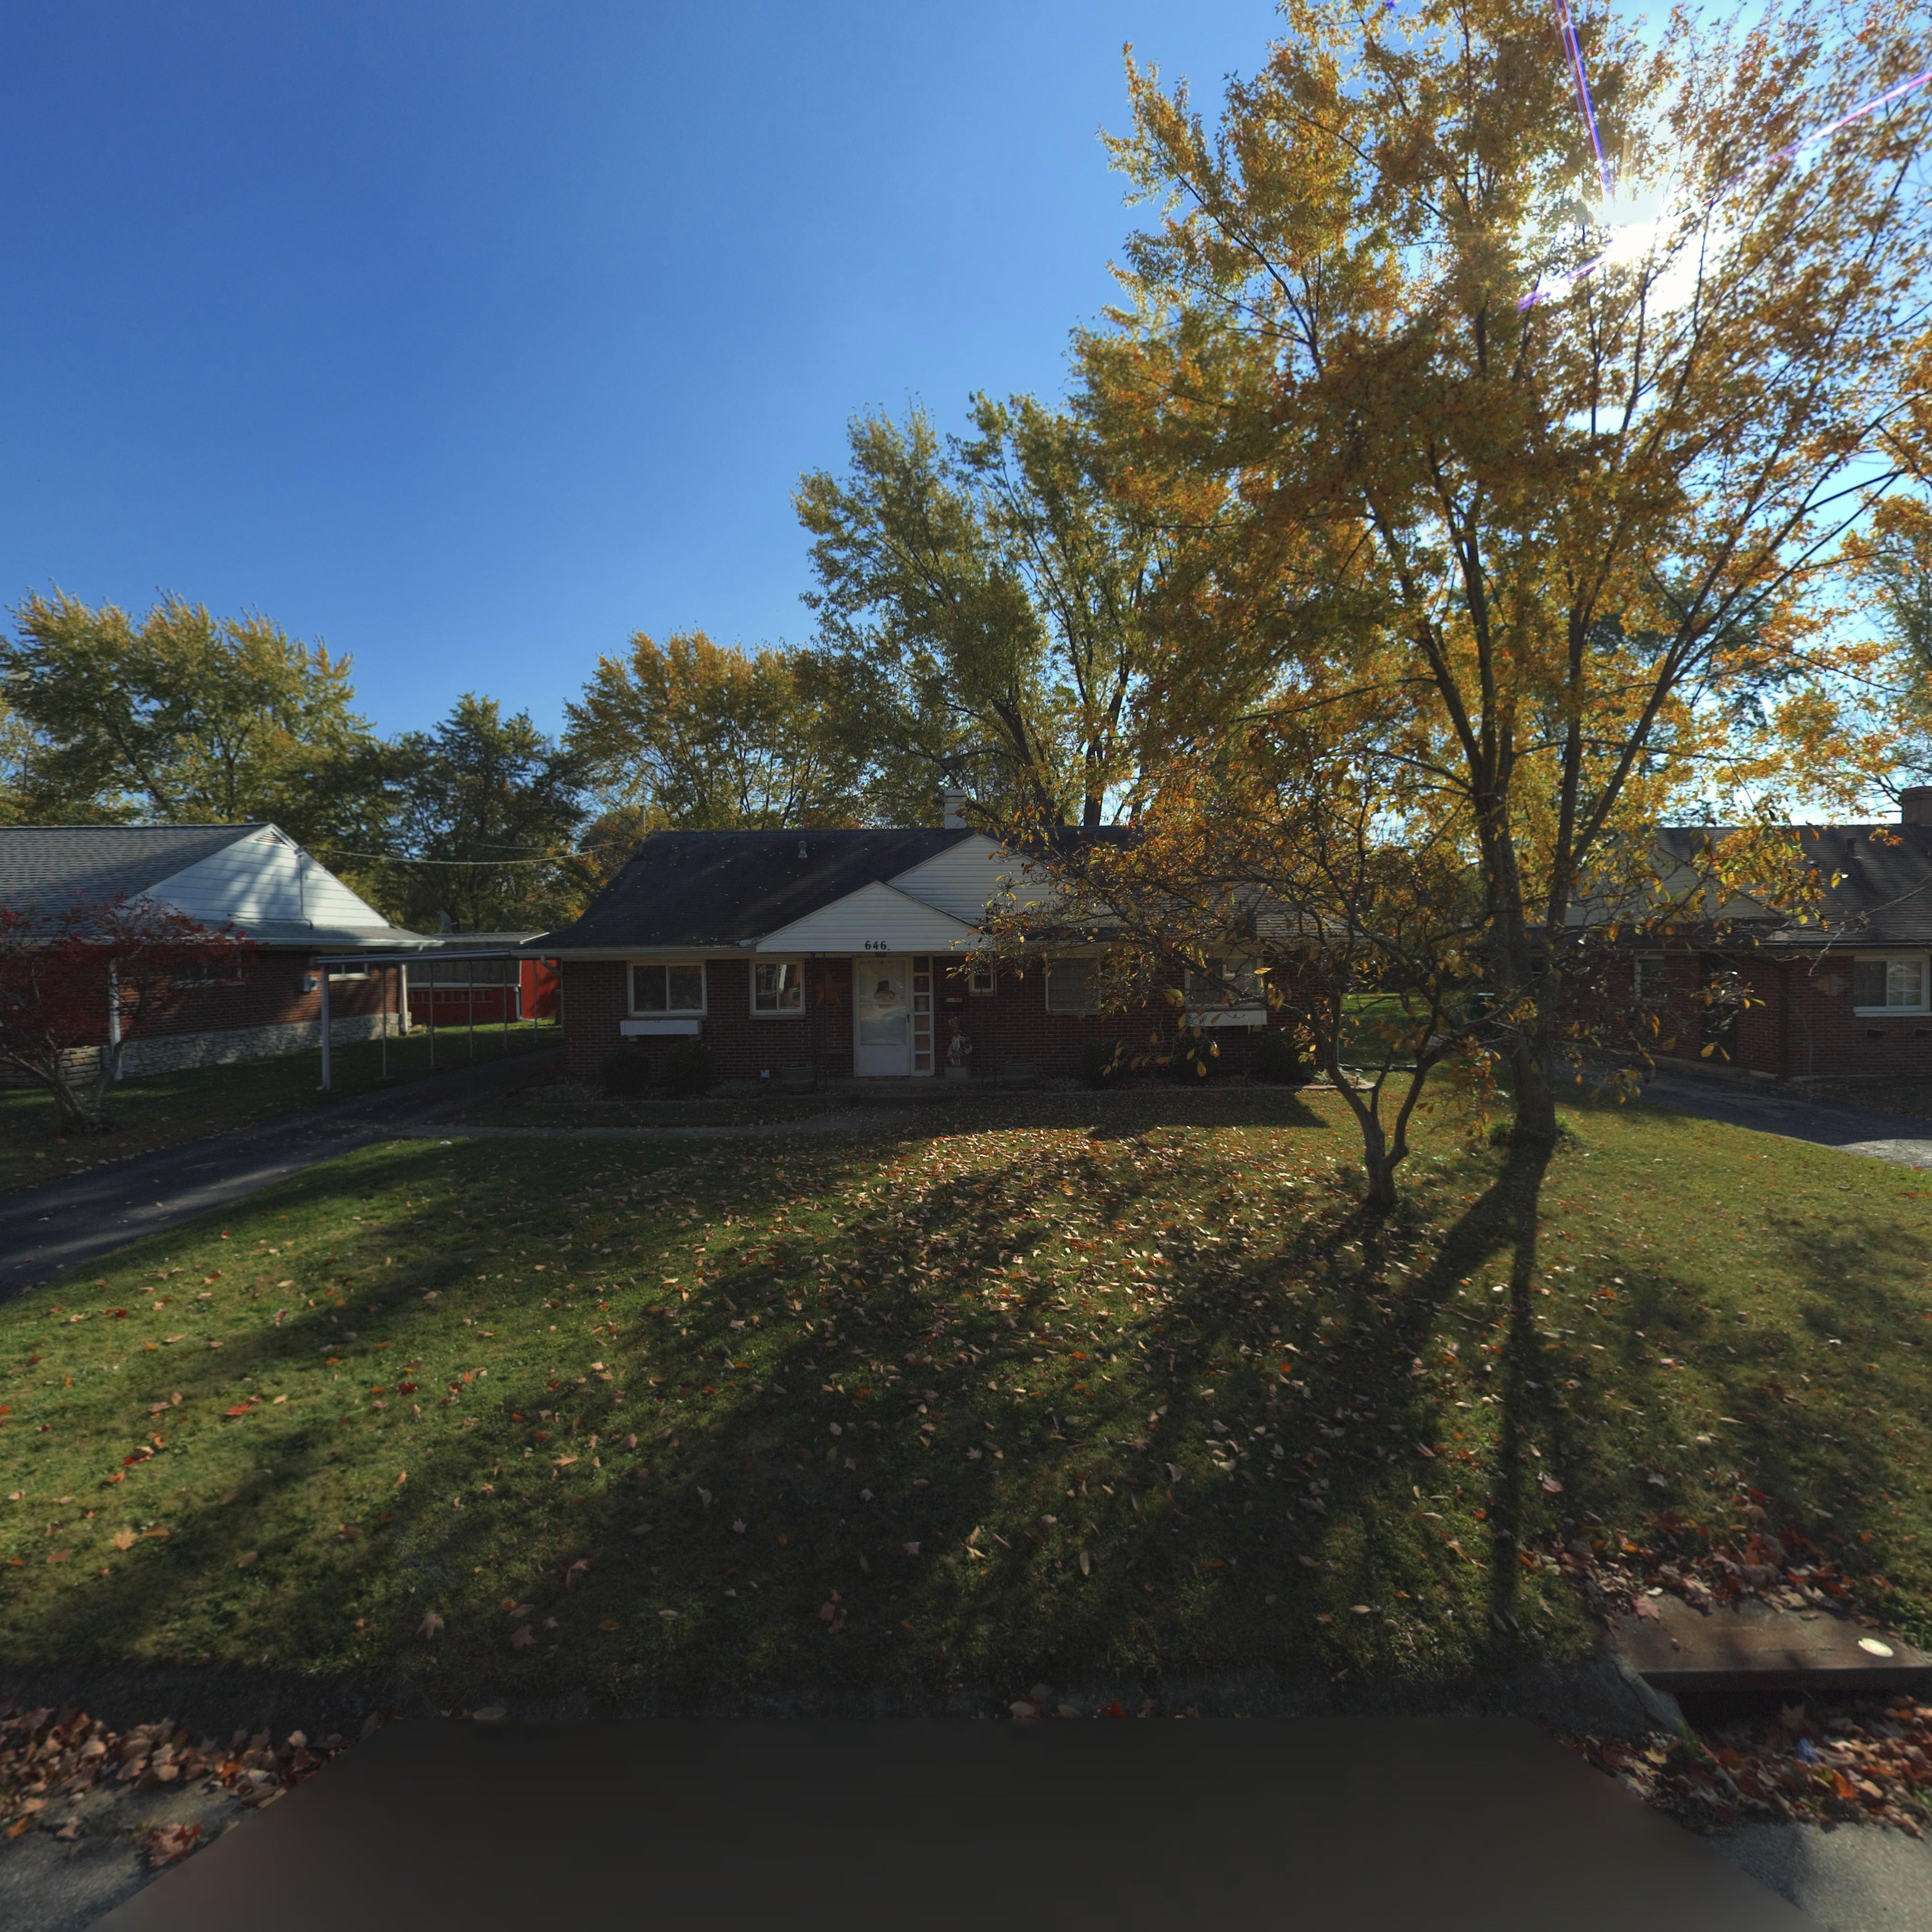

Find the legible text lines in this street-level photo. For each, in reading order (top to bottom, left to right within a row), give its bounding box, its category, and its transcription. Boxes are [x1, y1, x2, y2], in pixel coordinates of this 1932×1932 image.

[864, 940, 887, 951] StreetNumber: 646